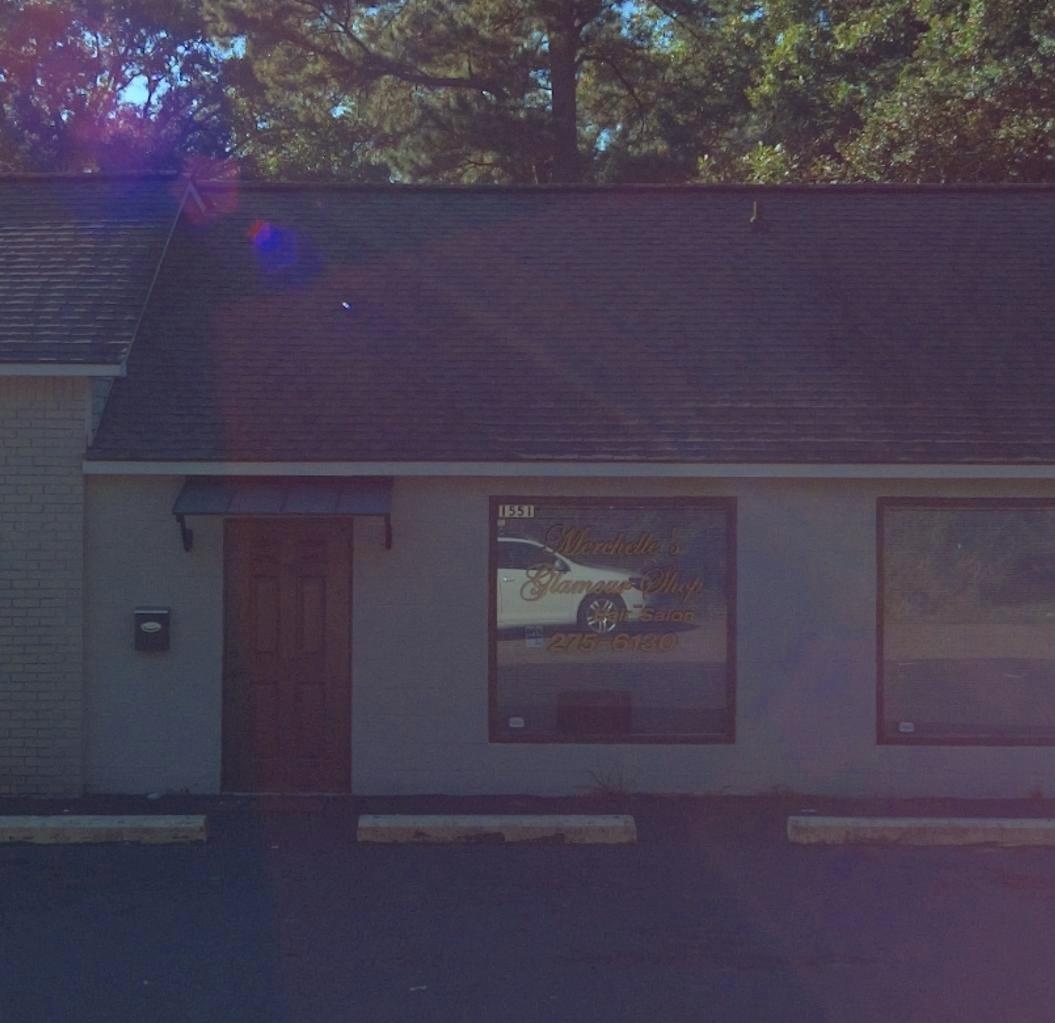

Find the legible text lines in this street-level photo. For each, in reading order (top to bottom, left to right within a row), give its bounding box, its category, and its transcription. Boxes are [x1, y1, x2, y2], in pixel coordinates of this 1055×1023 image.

[500, 505, 533, 518] StreetNumber: 1551
[549, 525, 682, 557] BusinessName: Merchelle's
[547, 569, 635, 596] BusinessName: lamour
[662, 571, 705, 607] BusinessName: hop
[591, 606, 696, 623] None: Hair Salon
[544, 632, 680, 652] None: 275-6130